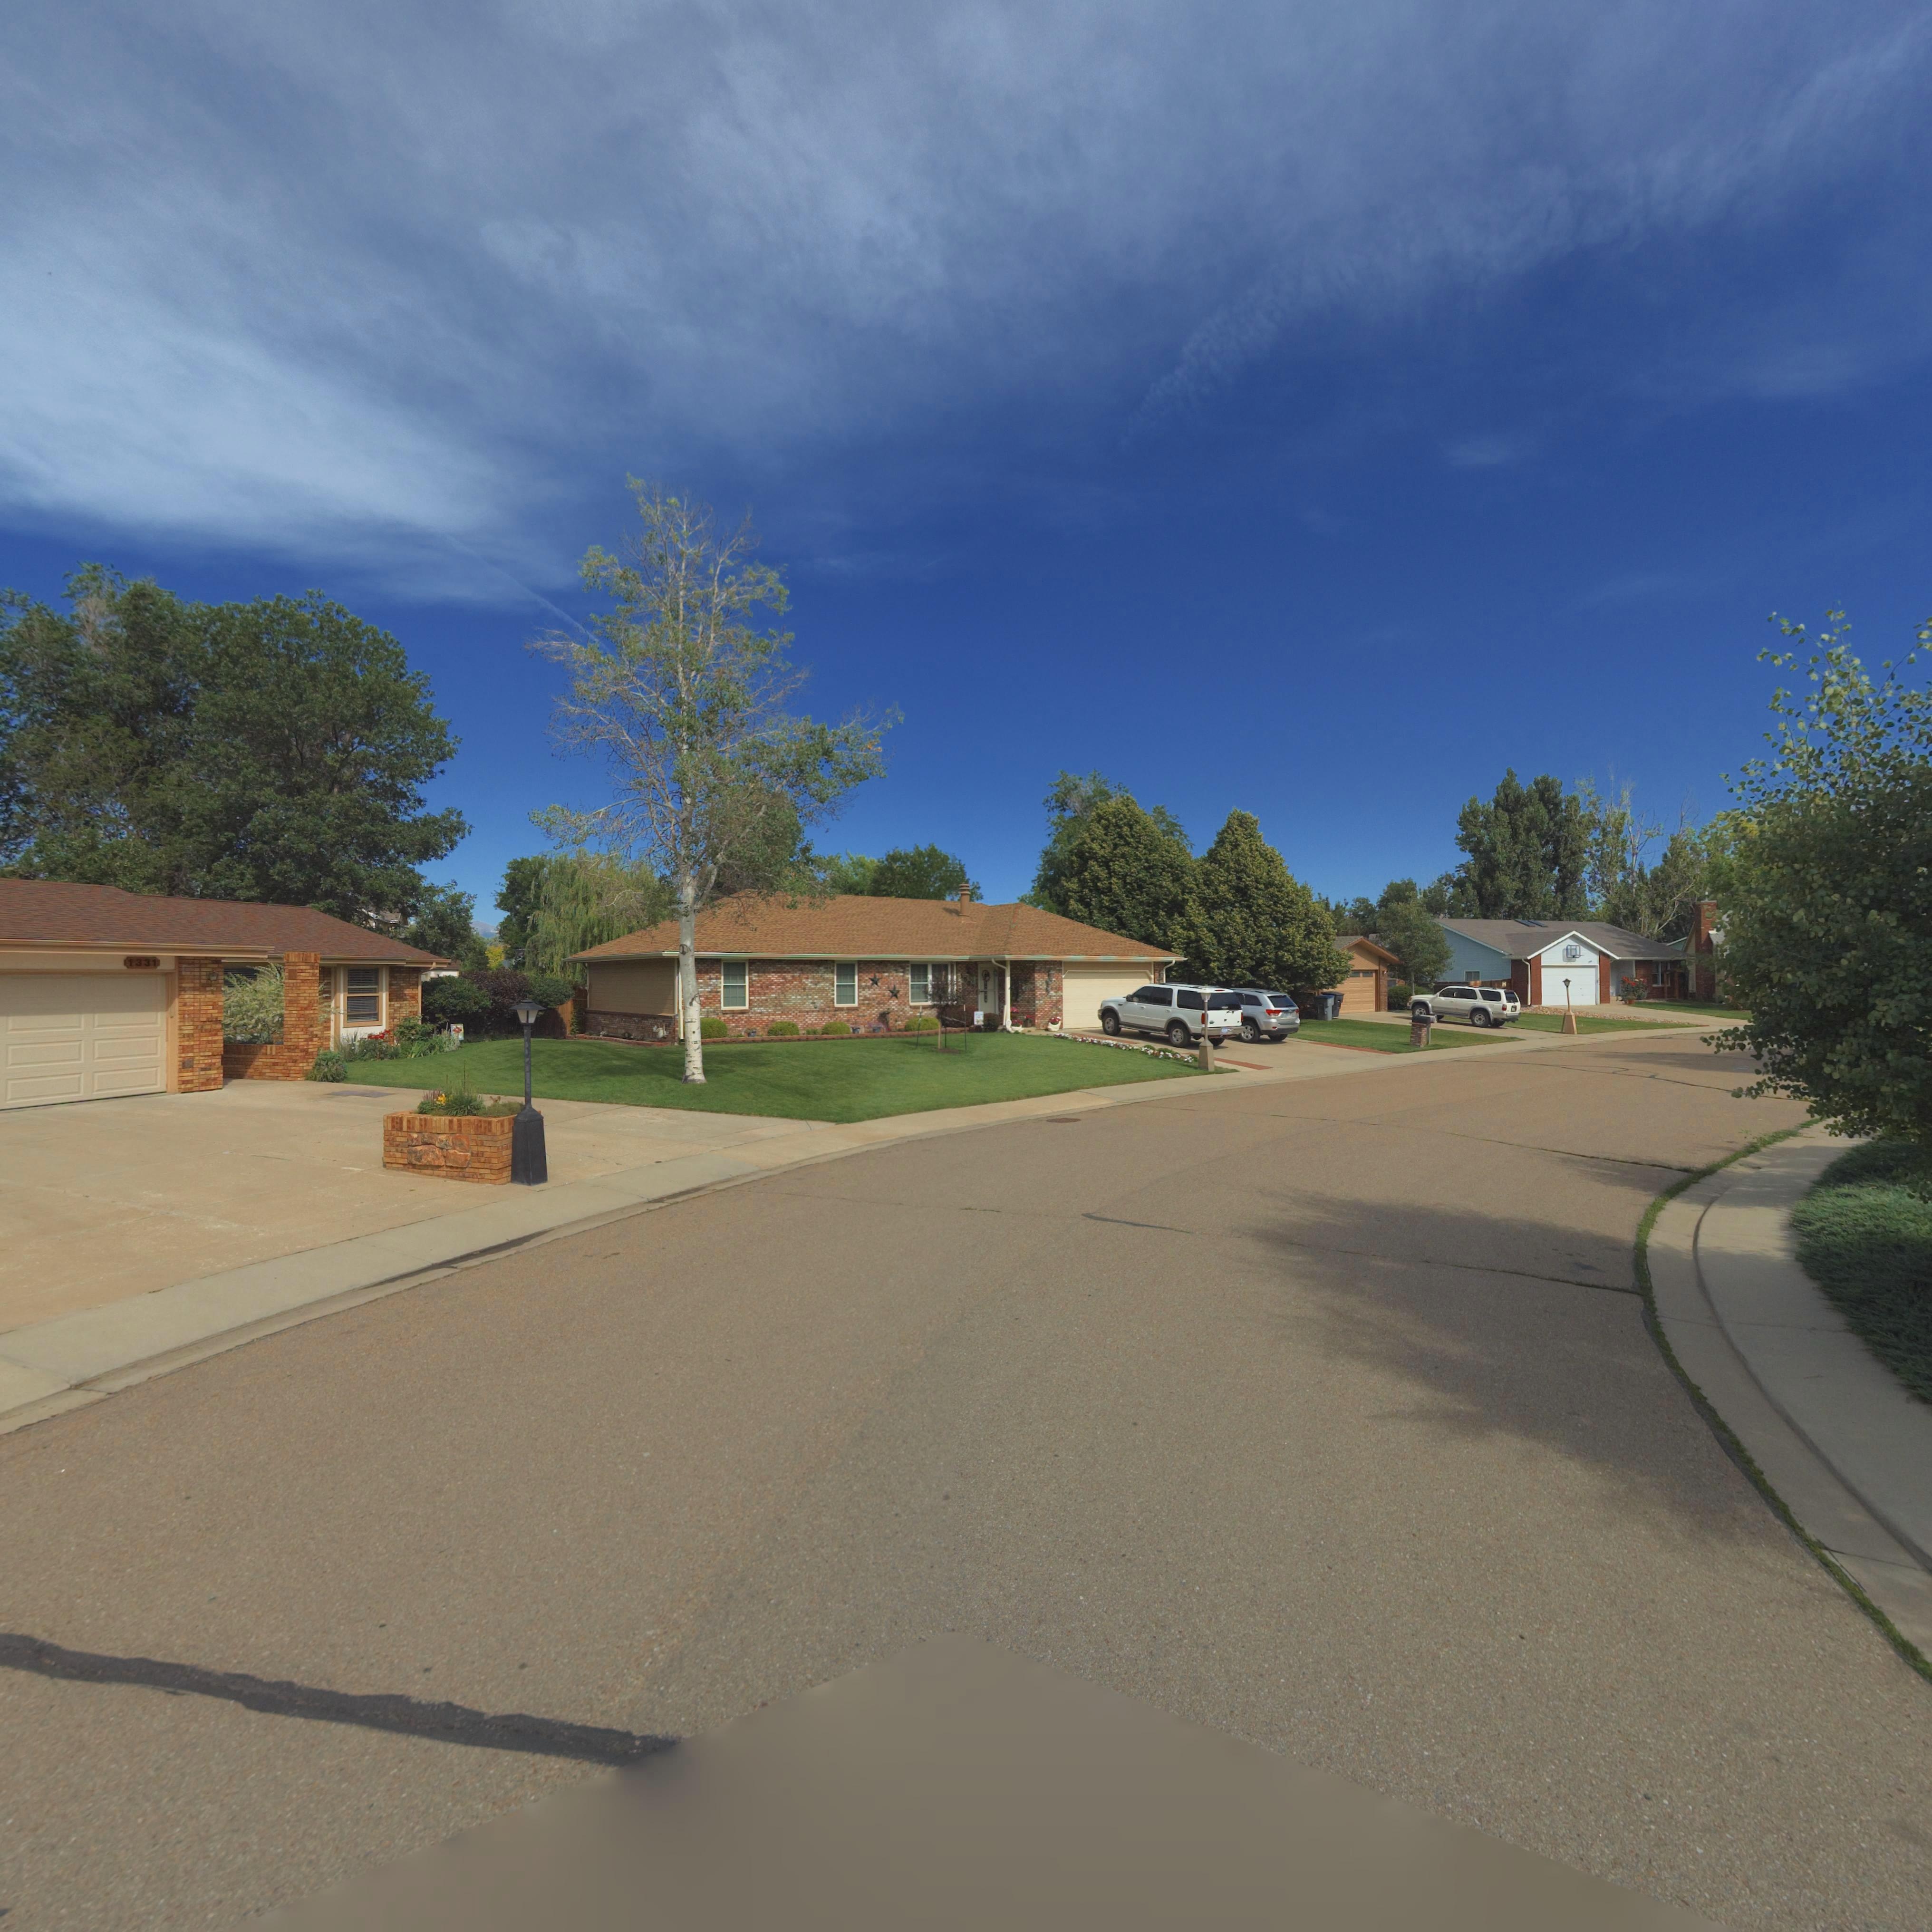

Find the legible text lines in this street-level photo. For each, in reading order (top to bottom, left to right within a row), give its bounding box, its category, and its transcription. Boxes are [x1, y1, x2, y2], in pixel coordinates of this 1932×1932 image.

[127, 957, 157, 966] StreetNumber: 1331